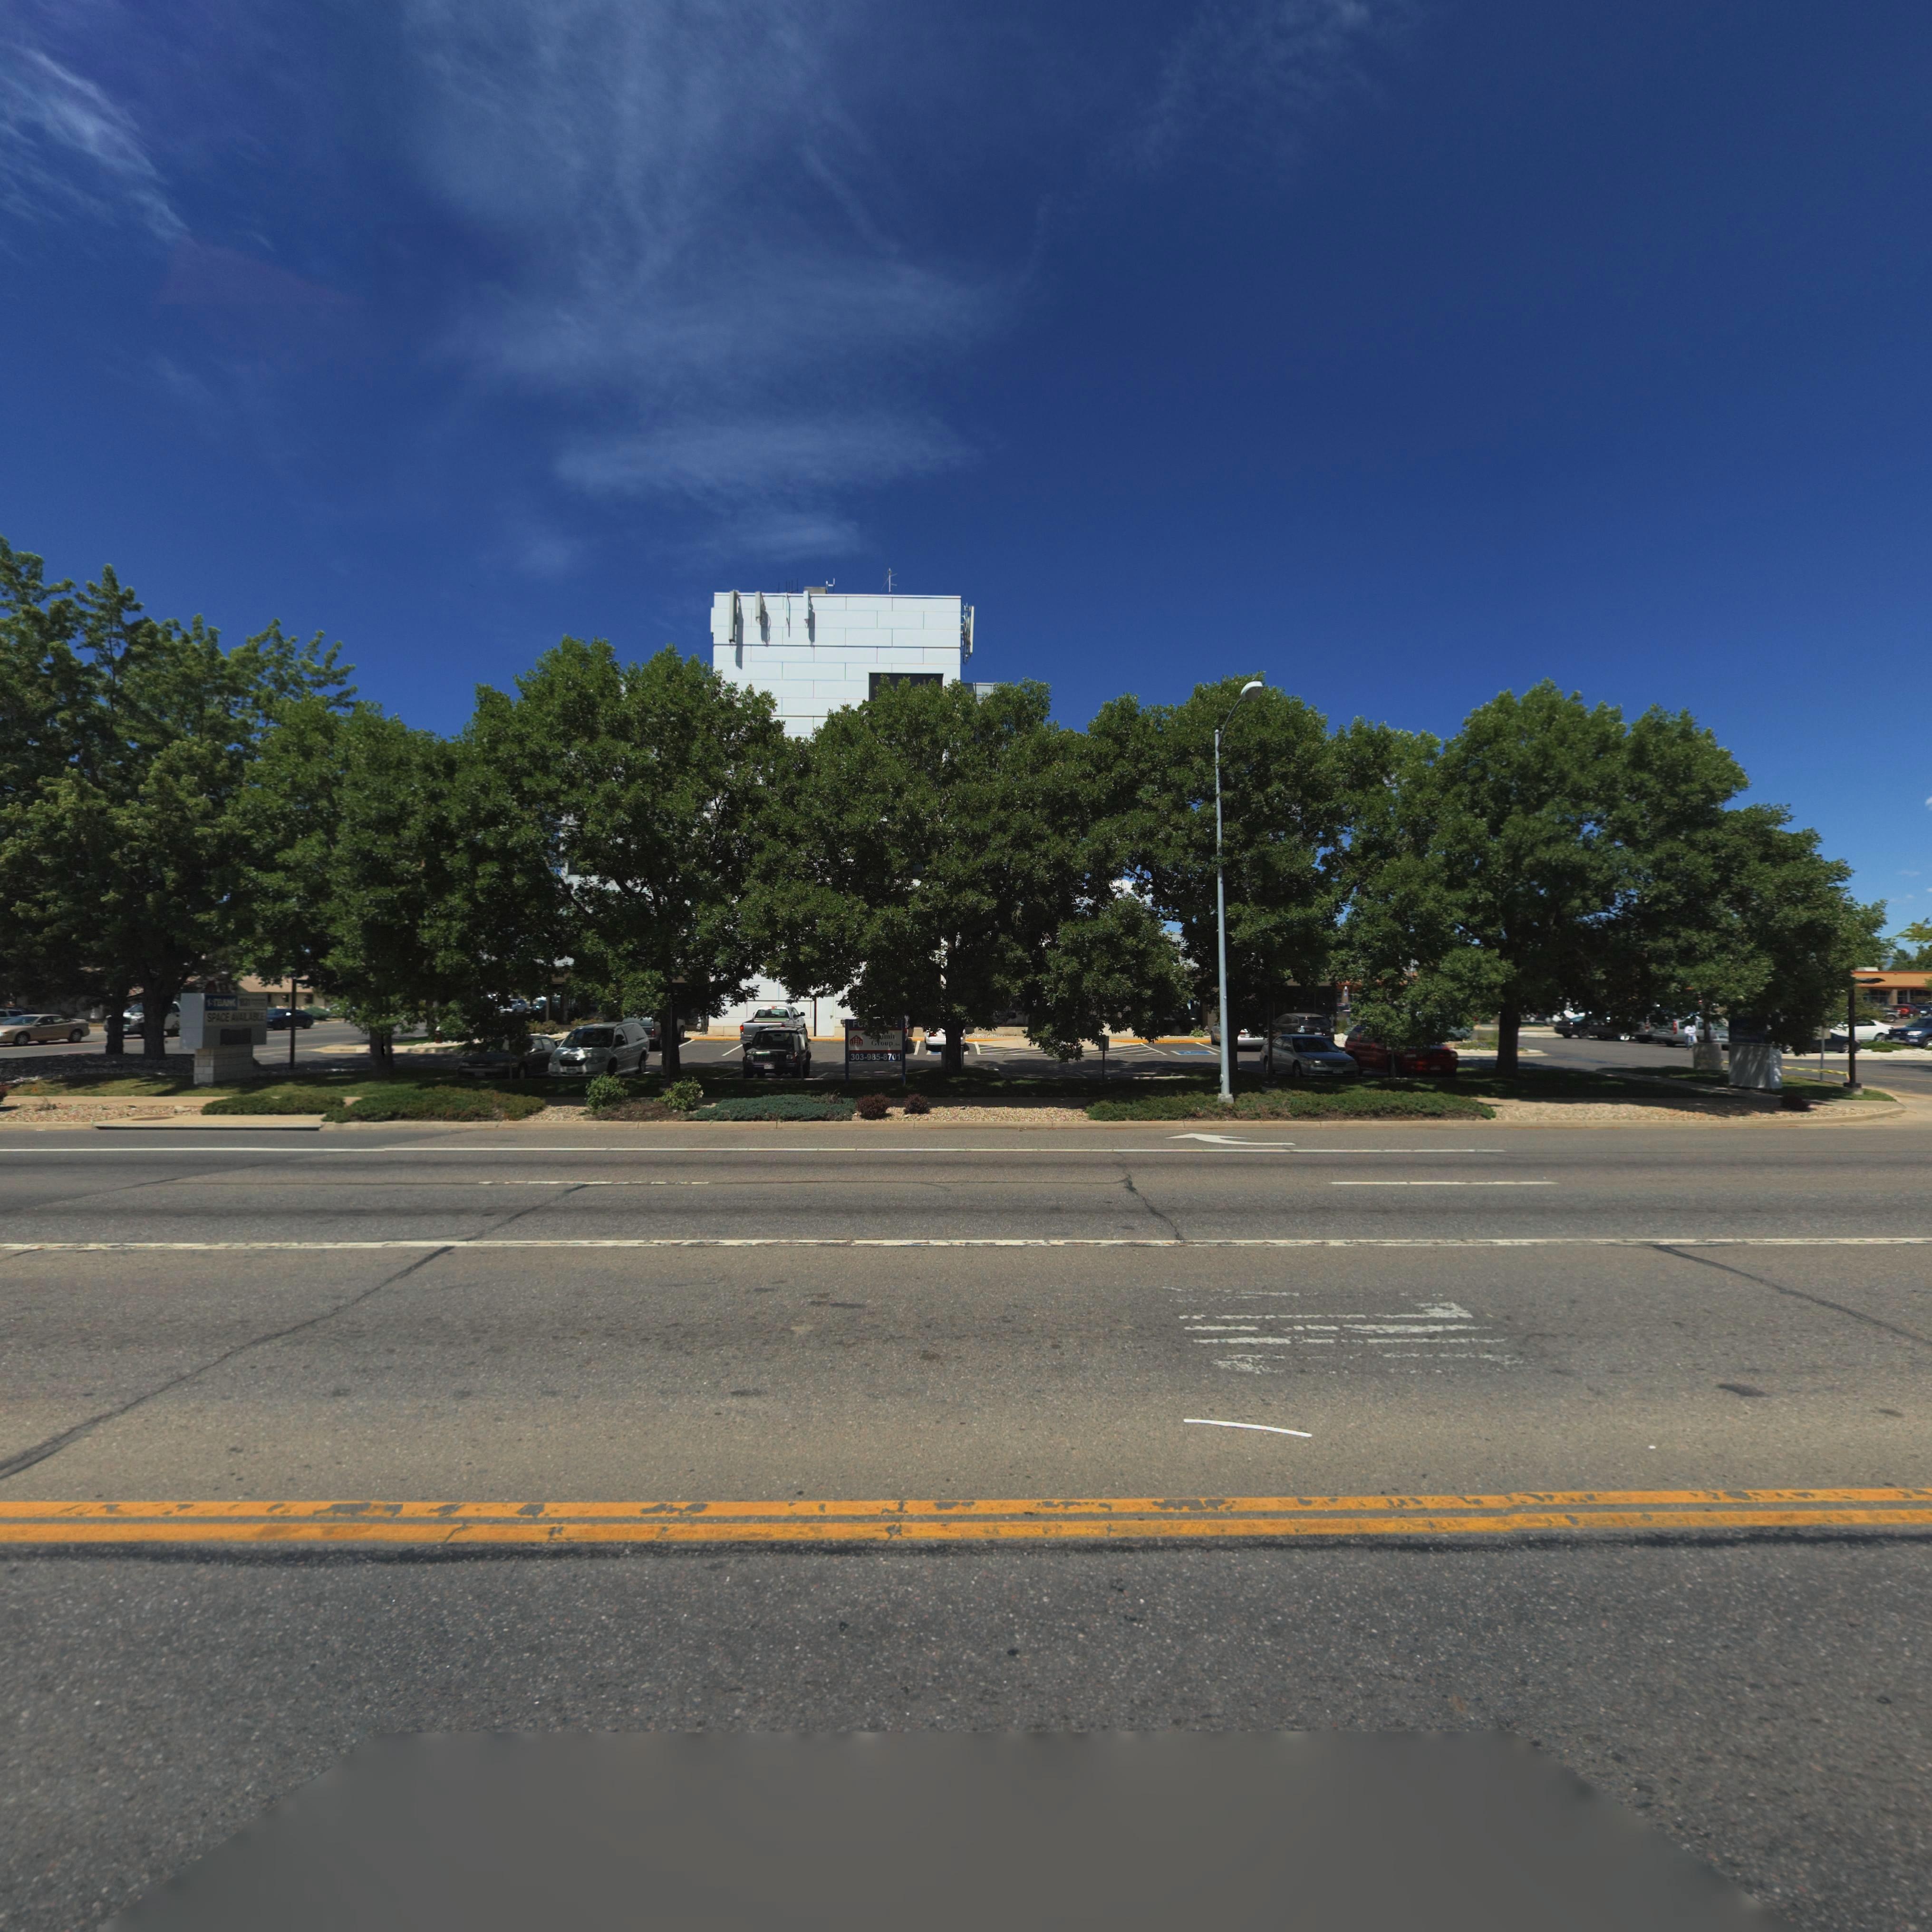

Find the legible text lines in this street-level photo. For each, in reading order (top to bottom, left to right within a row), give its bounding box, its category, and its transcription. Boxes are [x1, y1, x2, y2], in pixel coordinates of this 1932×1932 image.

[205, 997, 236, 1006] BusinessName: 1S*BA**